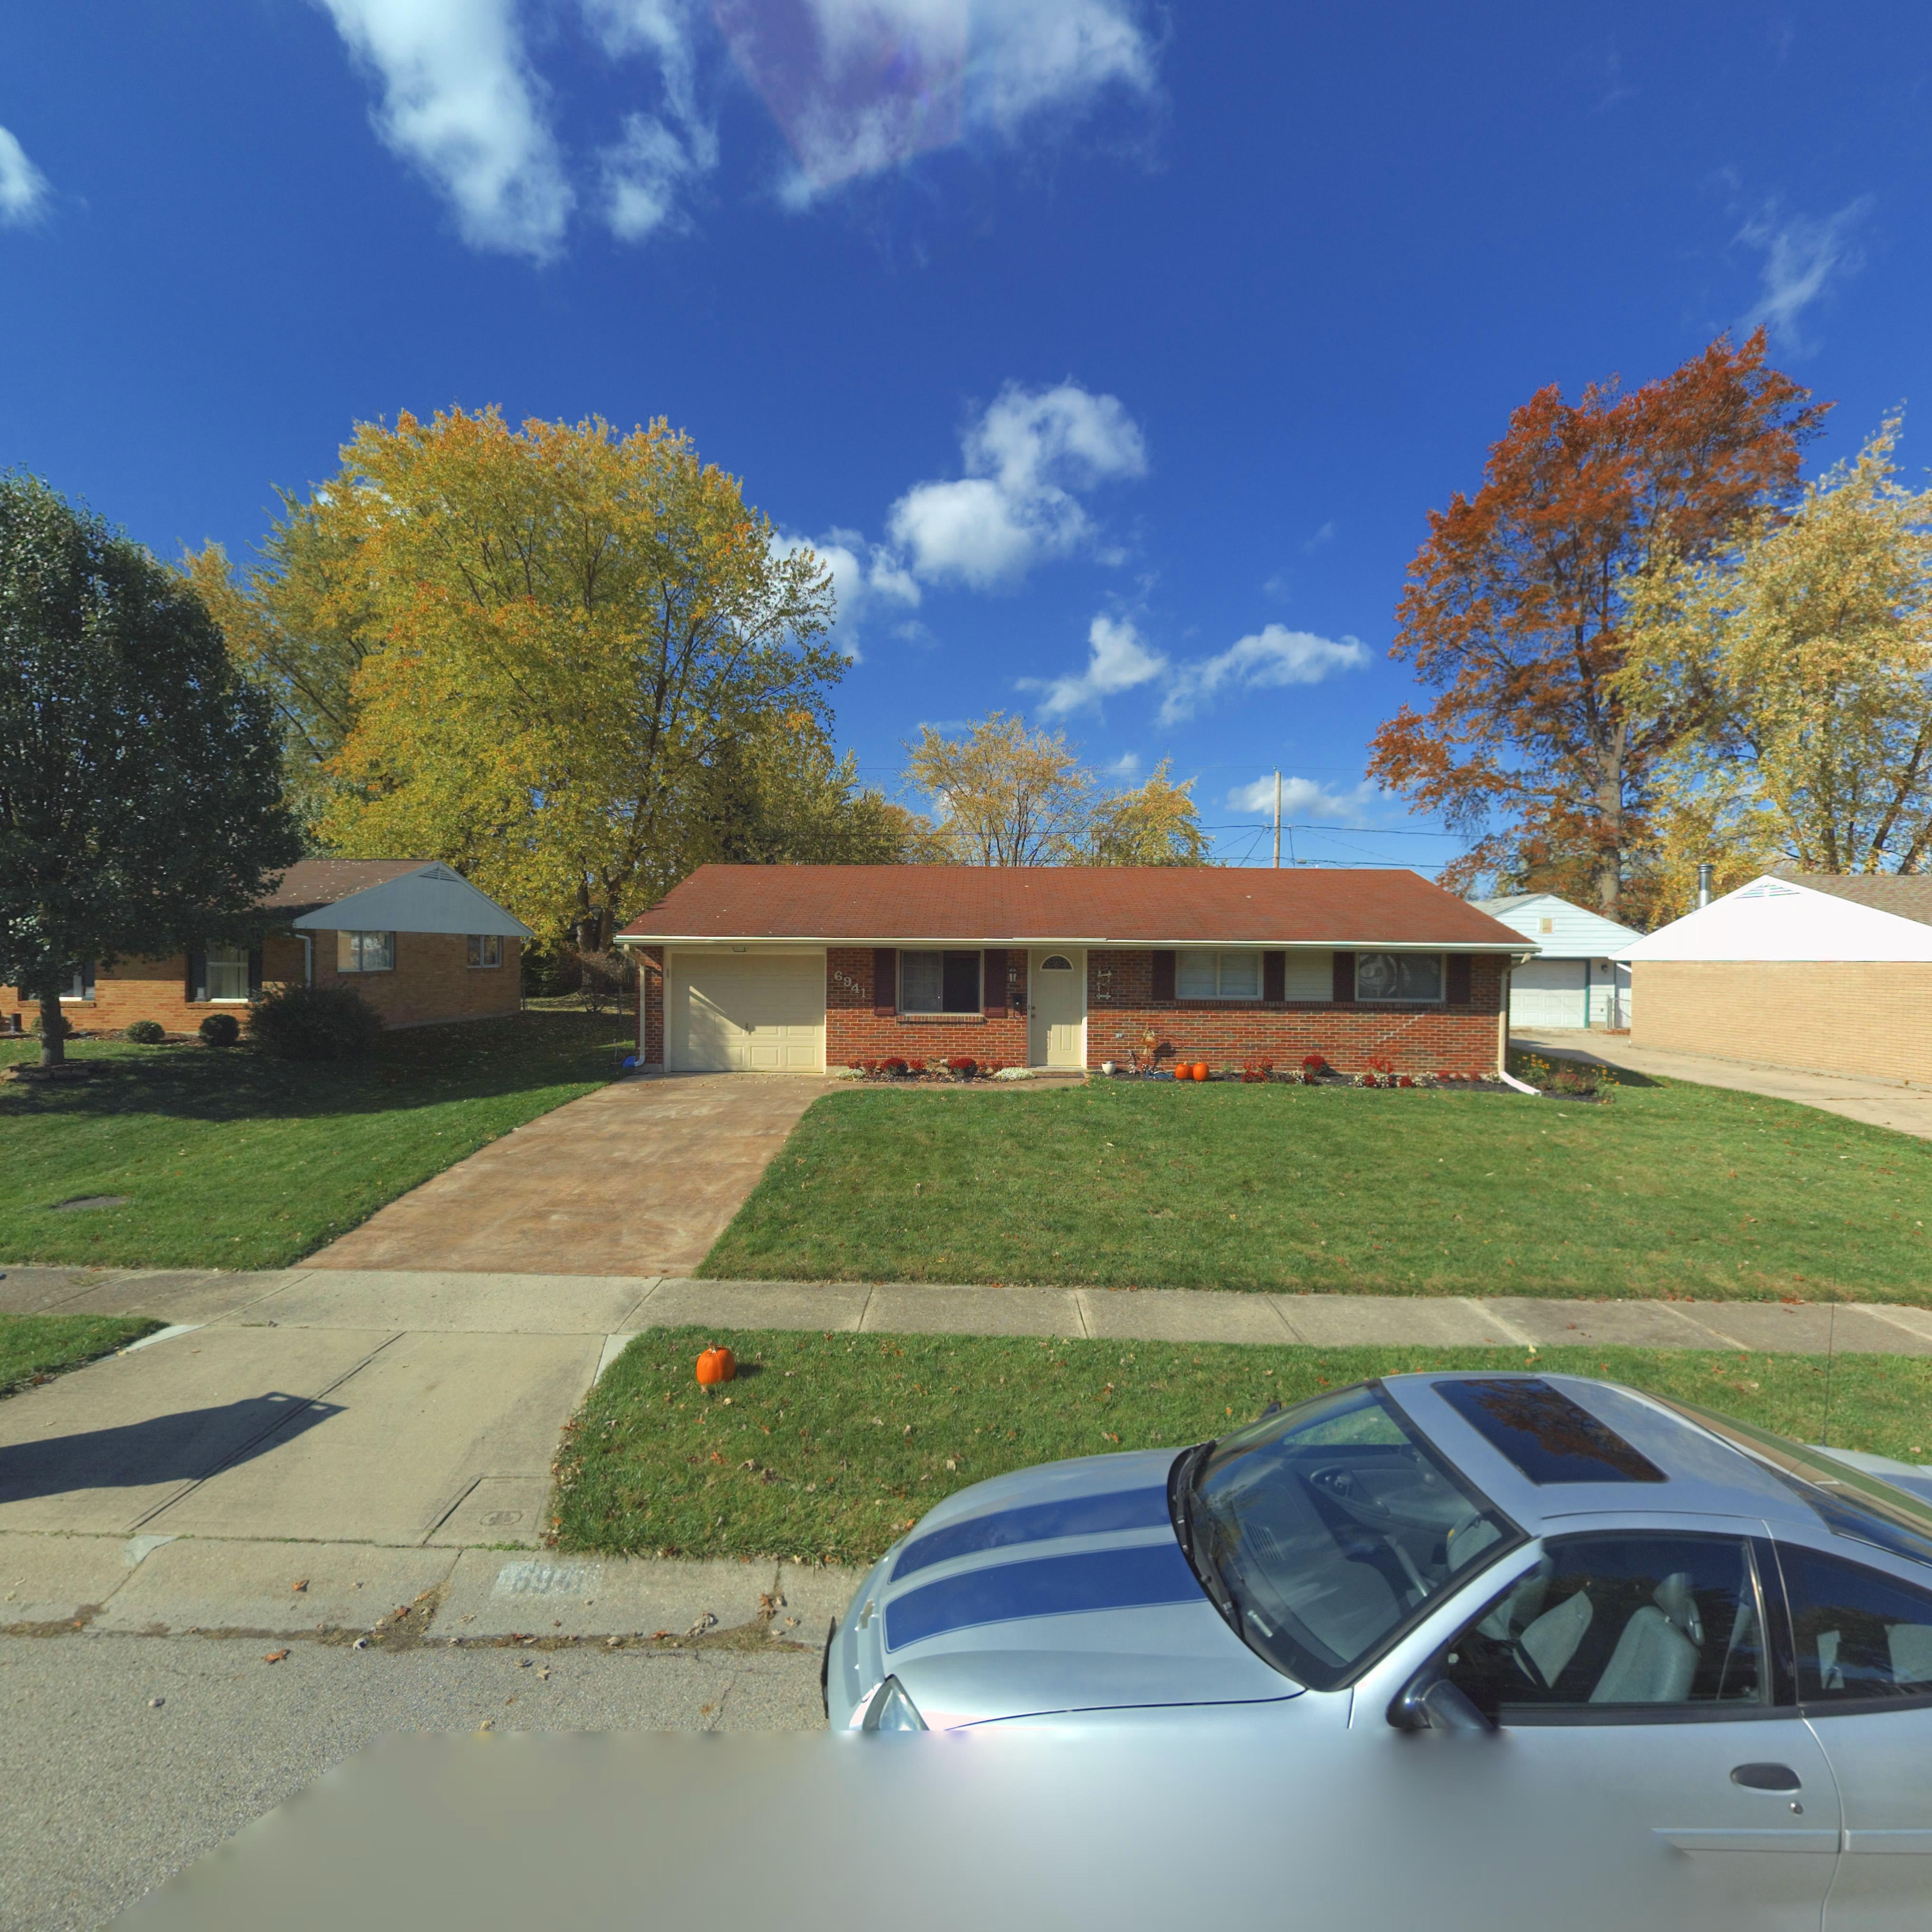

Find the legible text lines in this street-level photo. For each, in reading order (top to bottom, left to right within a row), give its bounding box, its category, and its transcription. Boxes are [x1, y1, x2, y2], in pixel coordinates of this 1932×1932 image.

[833, 969, 867, 999] StreetNumber: 6941
[507, 1563, 590, 1600] StreetNumber: 69**